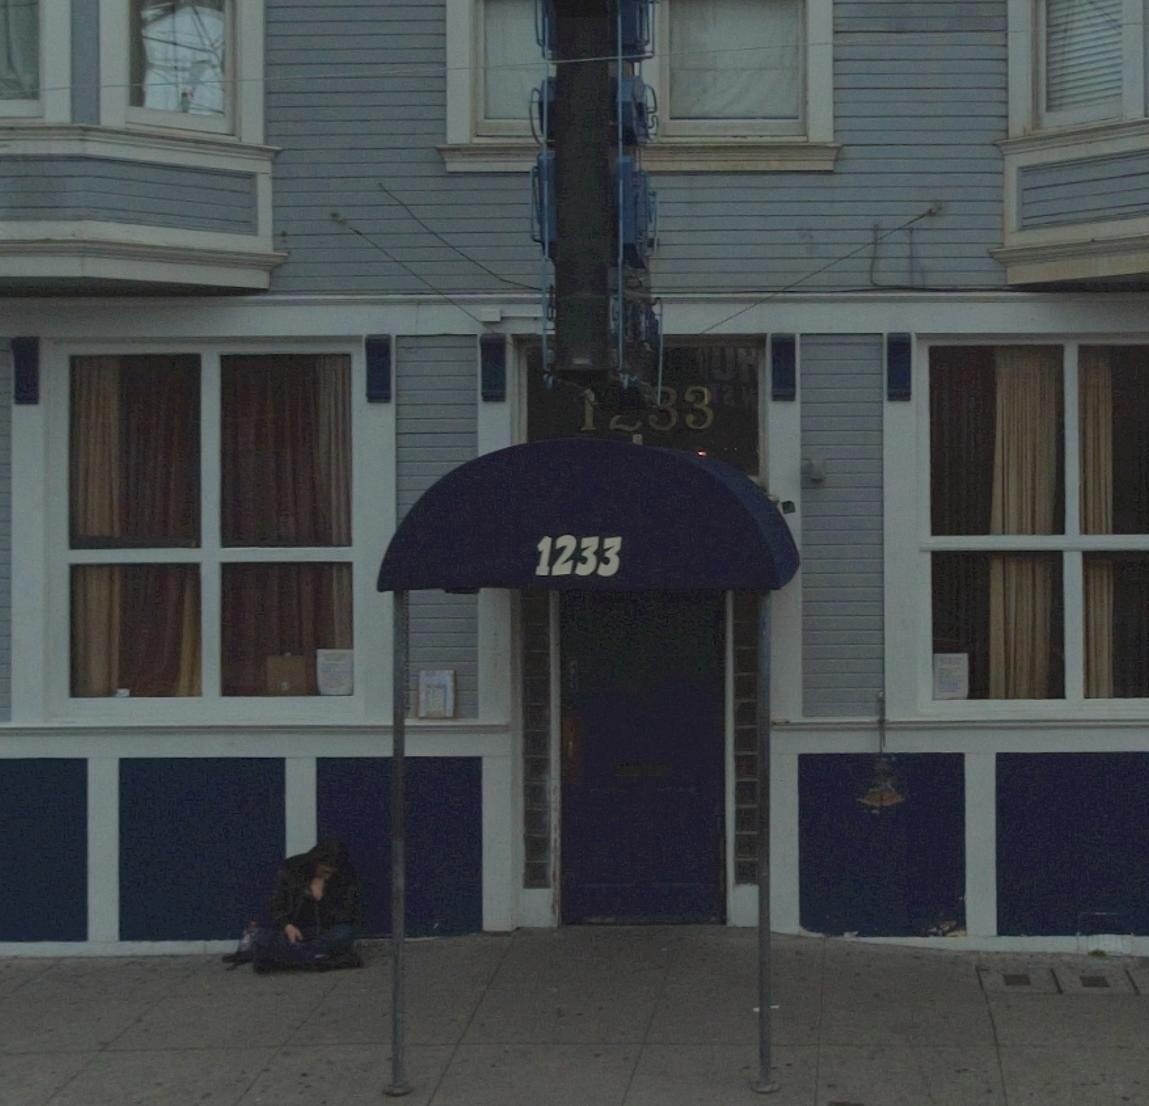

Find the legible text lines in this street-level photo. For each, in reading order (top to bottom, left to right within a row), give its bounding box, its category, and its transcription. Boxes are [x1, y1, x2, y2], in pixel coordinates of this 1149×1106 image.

[576, 378, 720, 432] StreetNumber: ***3
[533, 532, 624, 578] StreetNumber: 1233